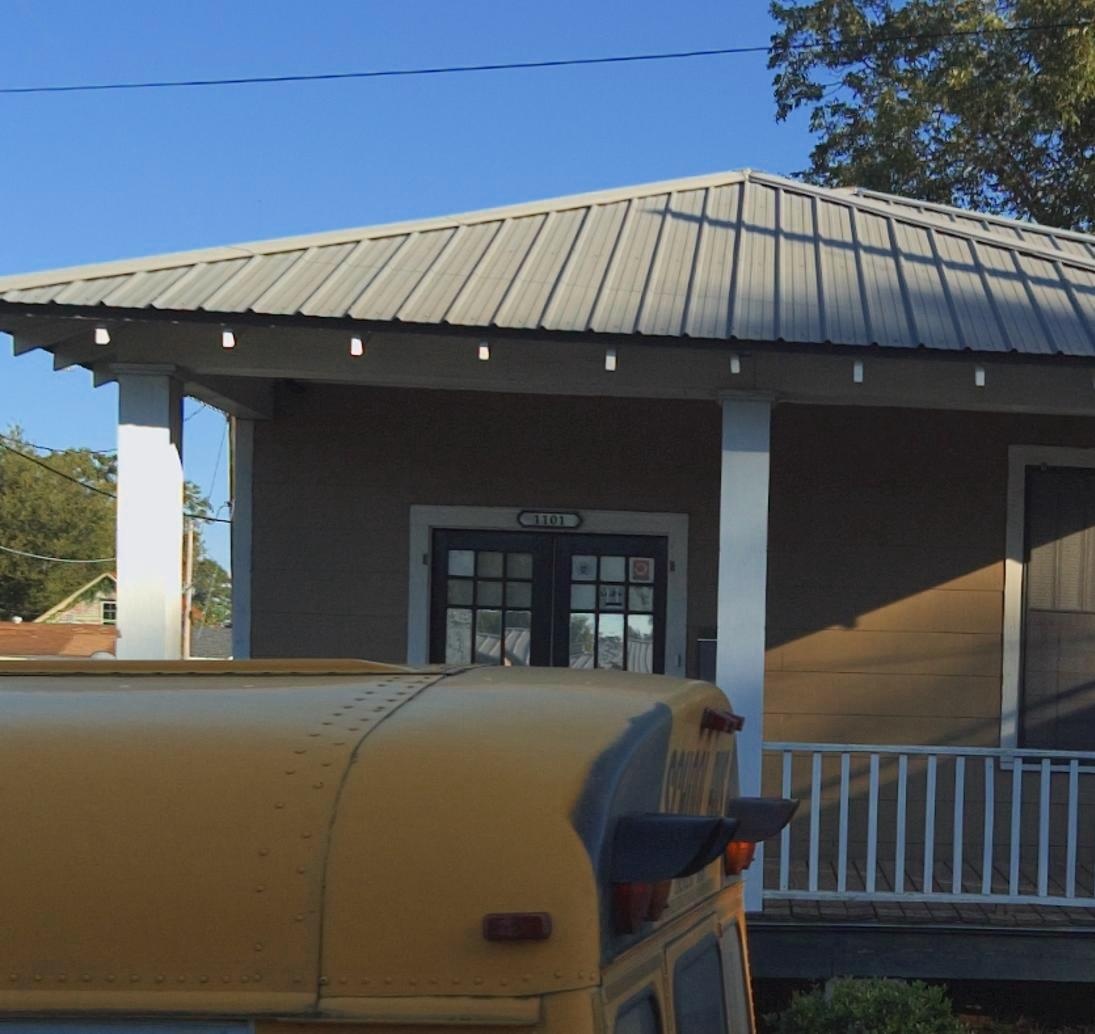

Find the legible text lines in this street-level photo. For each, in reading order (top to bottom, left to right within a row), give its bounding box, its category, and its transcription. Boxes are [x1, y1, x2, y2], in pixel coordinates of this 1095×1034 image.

[529, 511, 566, 527] StreetNumber: 1101